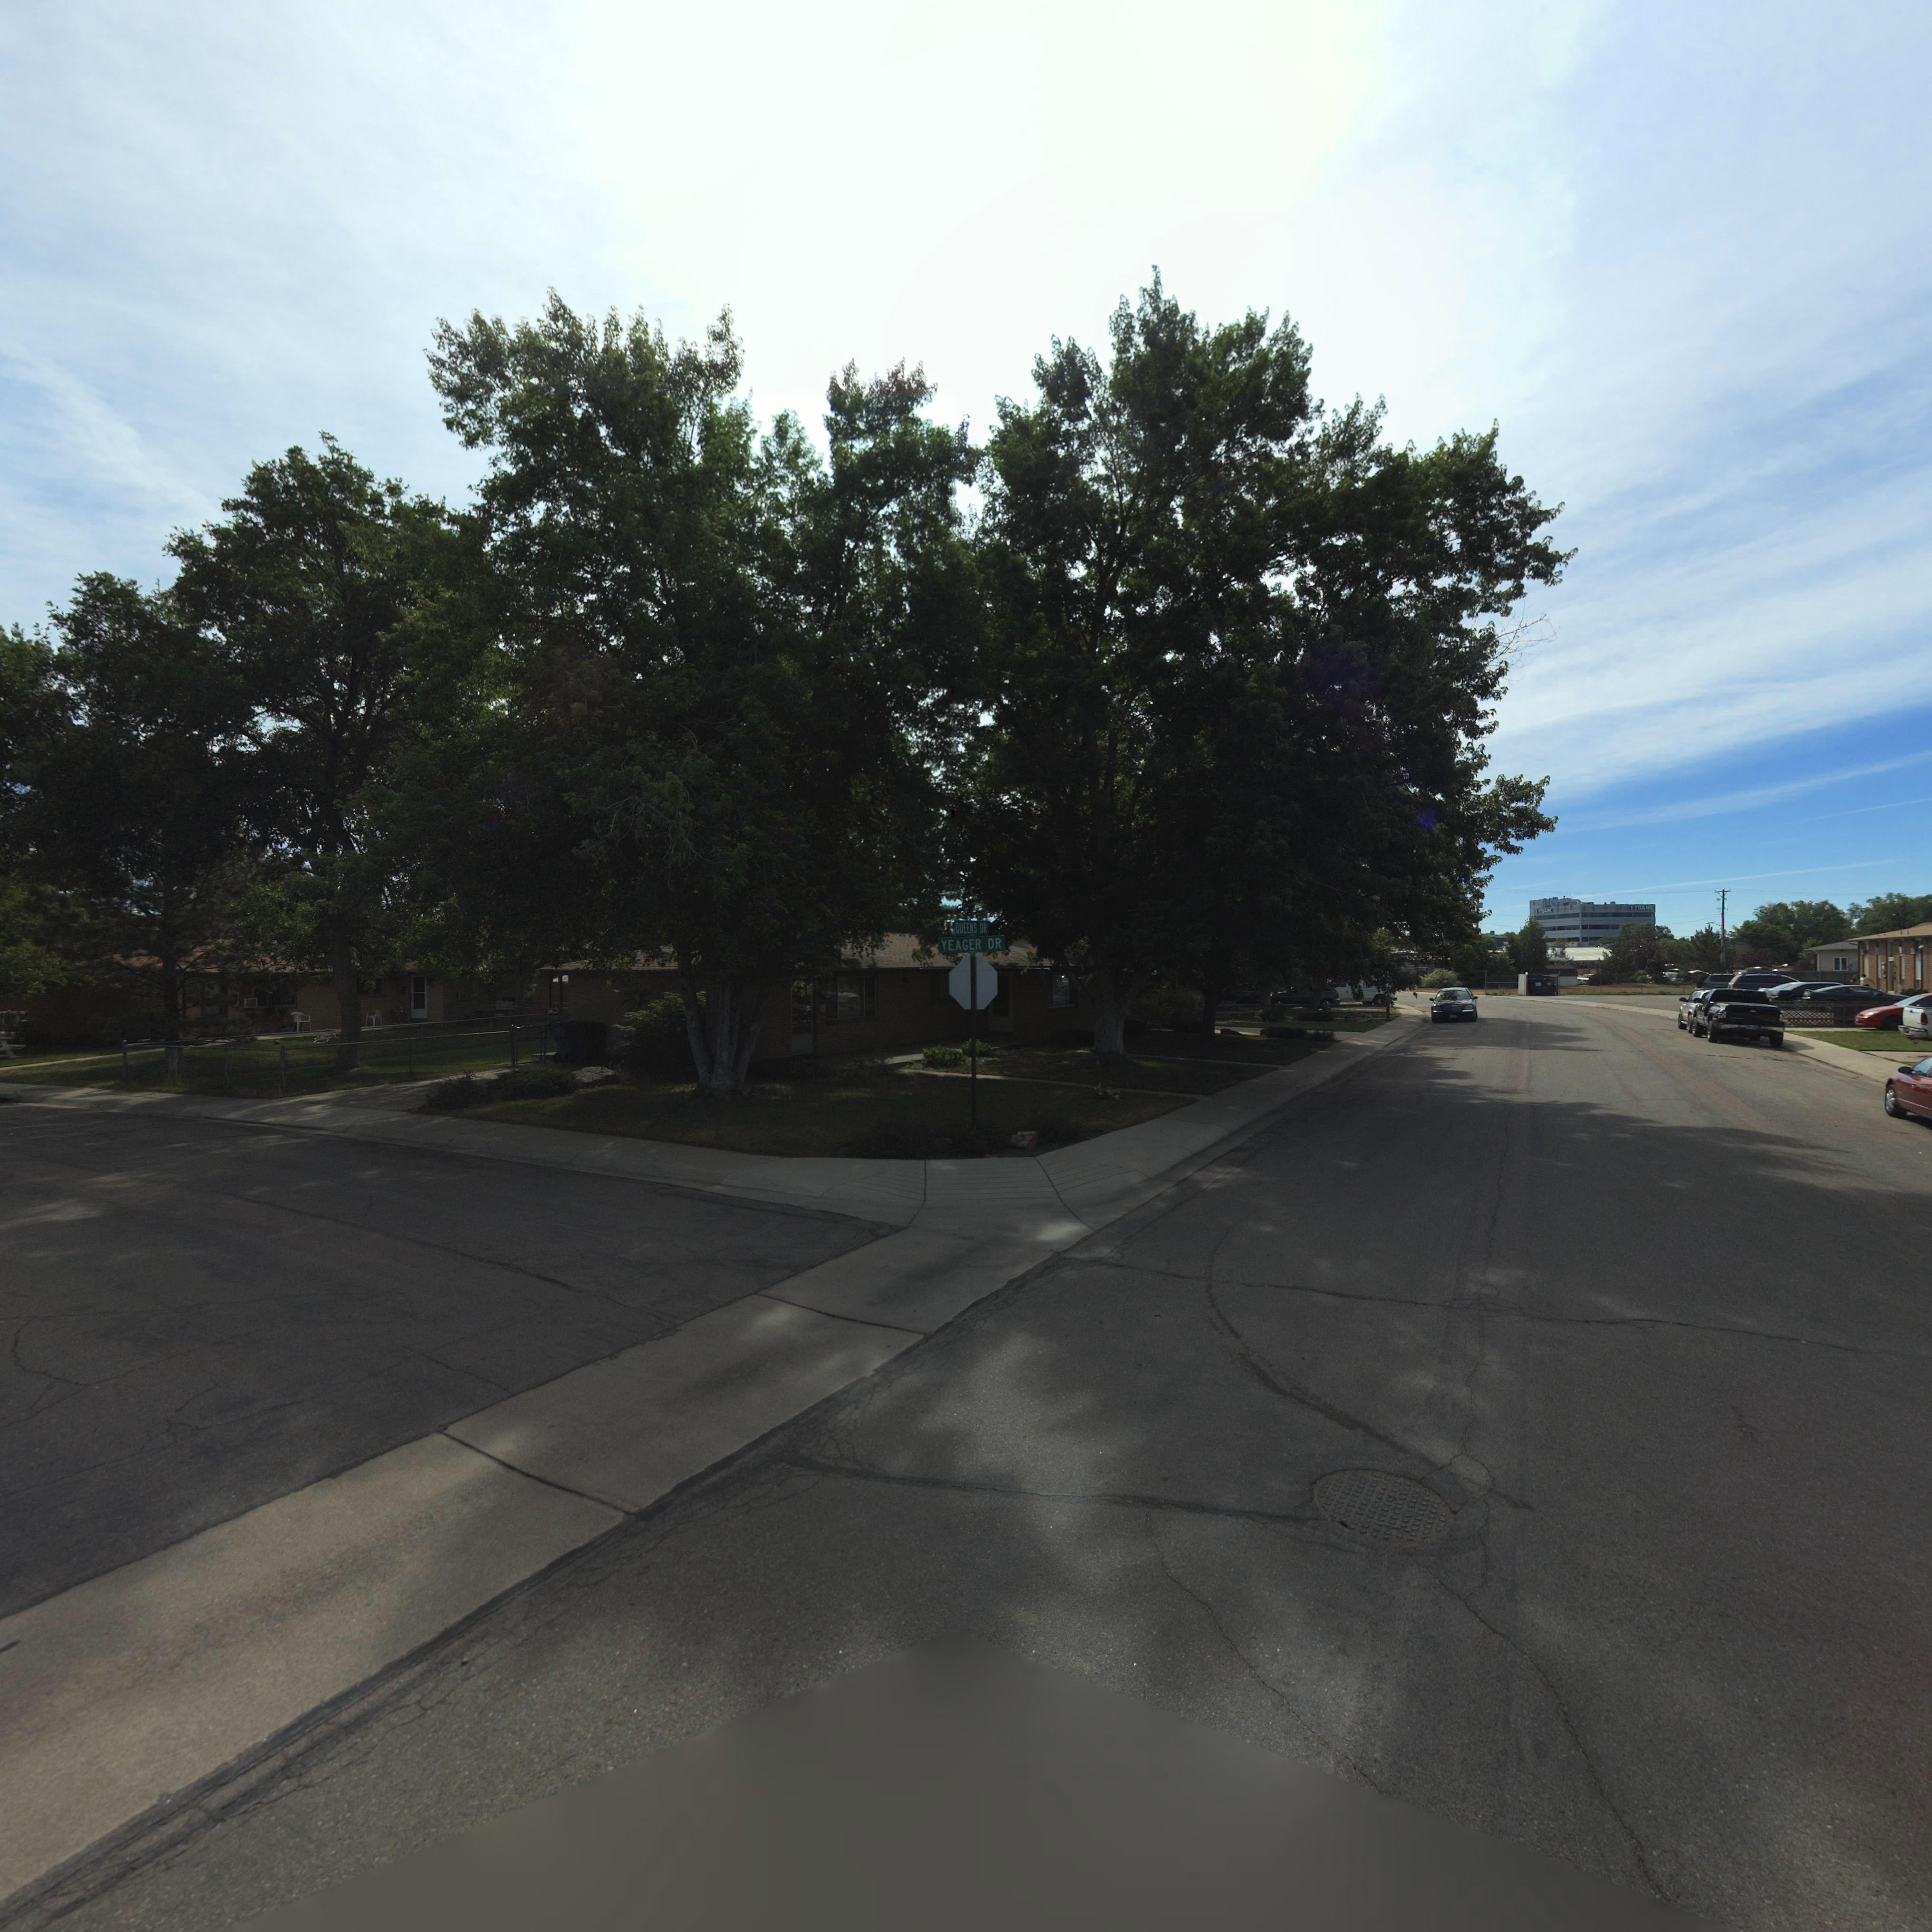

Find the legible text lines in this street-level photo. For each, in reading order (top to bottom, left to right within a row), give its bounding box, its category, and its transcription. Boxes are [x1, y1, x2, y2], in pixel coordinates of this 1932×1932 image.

[1630, 905, 1652, 910] BusinessName: 1**BA*K
[955, 922, 987, 934] StreetName: QUEENS DR
[940, 937, 1002, 951] StreetName: YEAGER DR